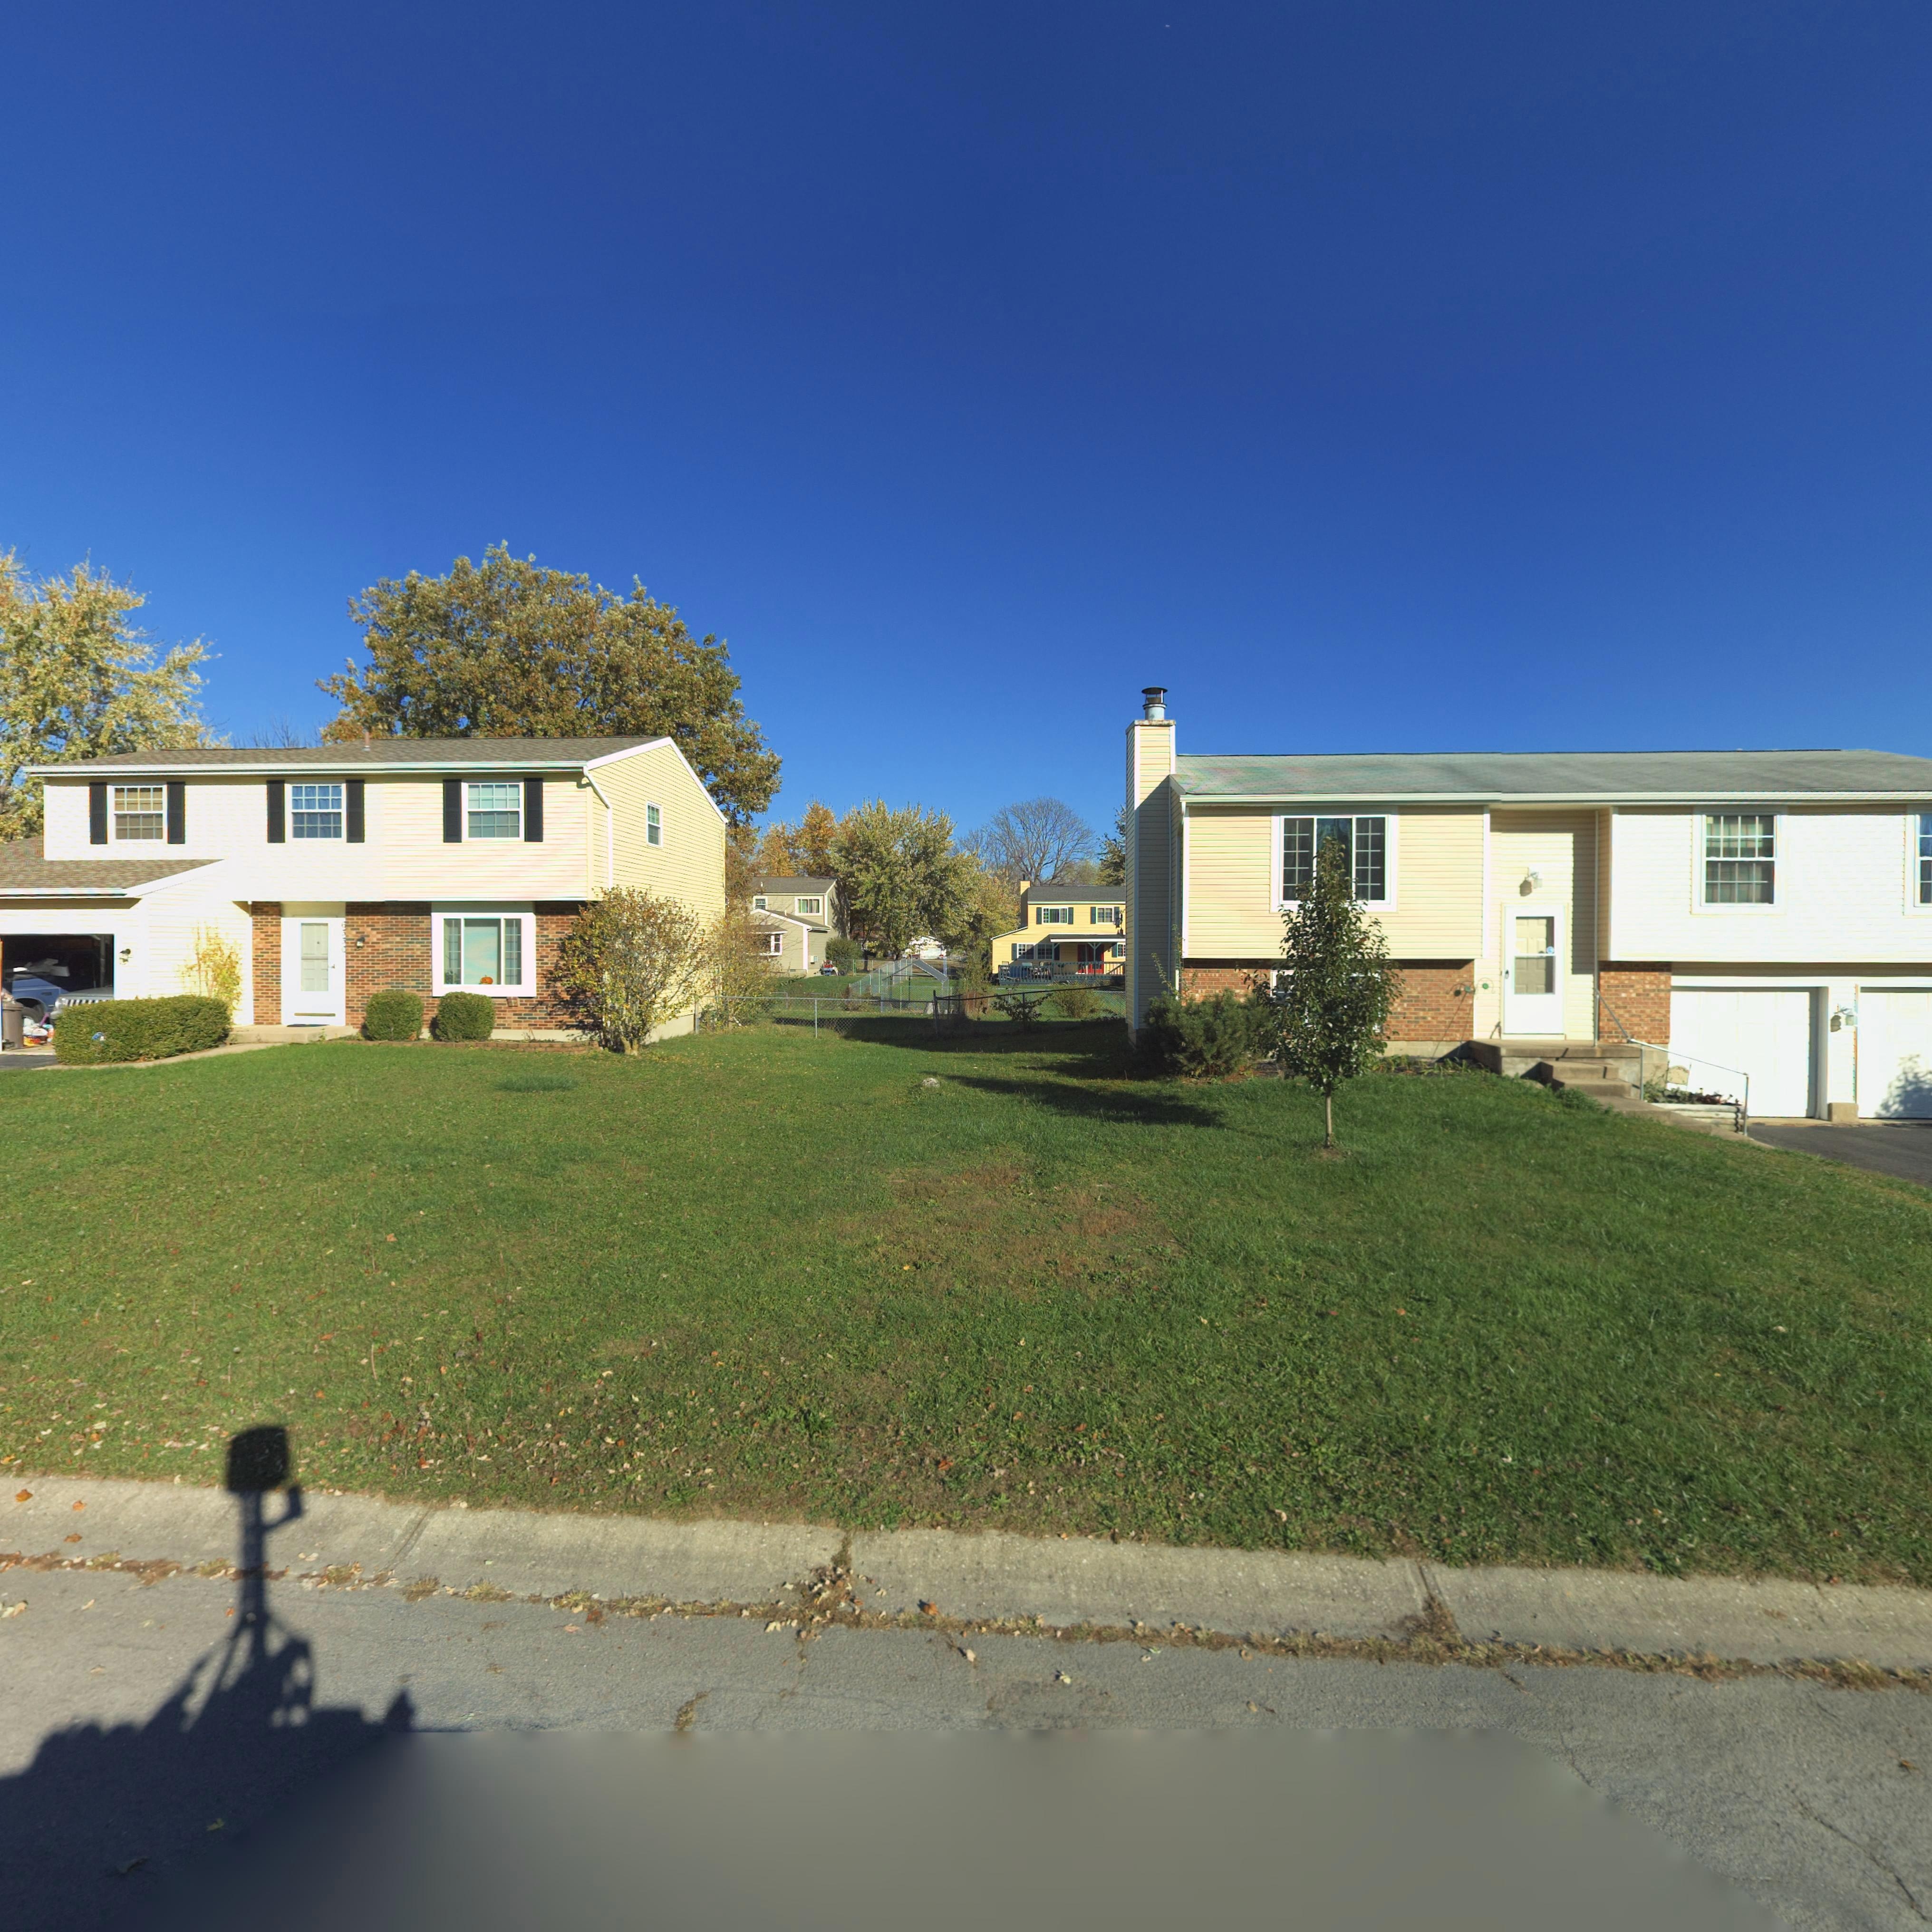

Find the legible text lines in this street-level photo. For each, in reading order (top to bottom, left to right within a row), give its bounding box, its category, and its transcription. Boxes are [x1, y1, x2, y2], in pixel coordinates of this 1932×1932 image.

[341, 921, 347, 954] StreetNumber: 6***